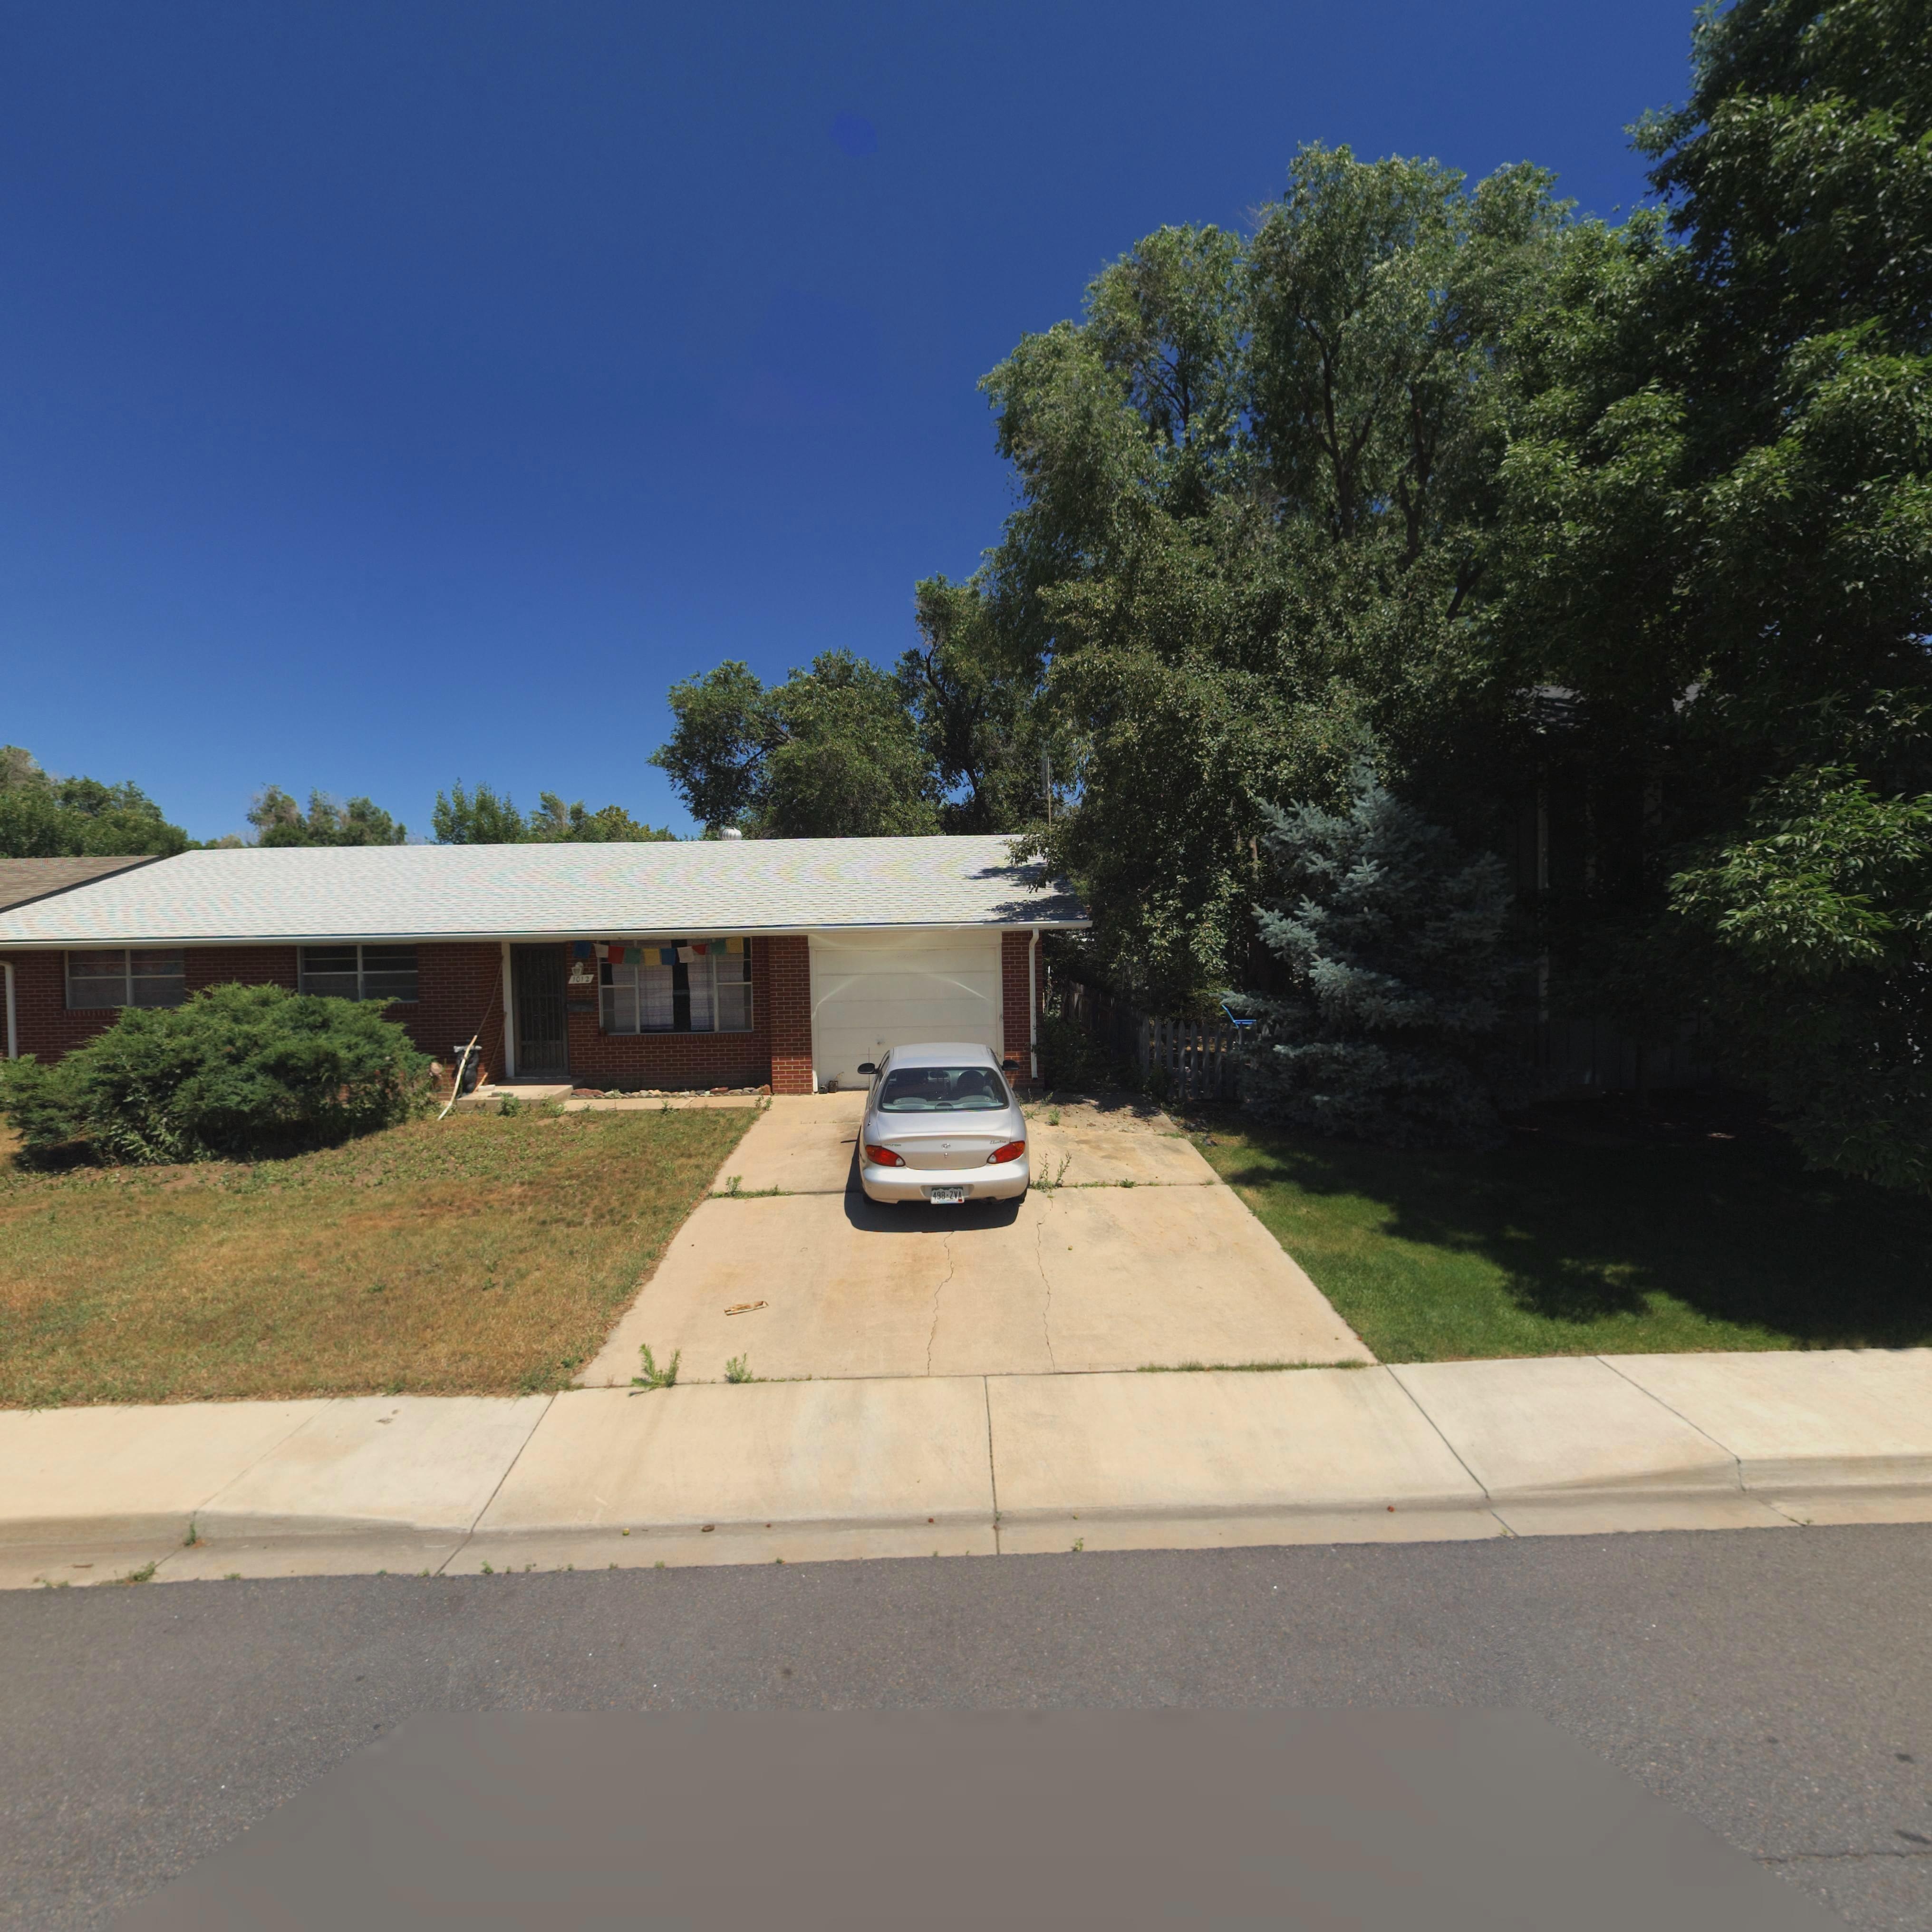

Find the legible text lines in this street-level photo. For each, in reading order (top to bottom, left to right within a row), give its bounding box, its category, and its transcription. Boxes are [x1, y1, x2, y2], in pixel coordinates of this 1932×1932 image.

[572, 976, 589, 983] StreetNumber: 1012